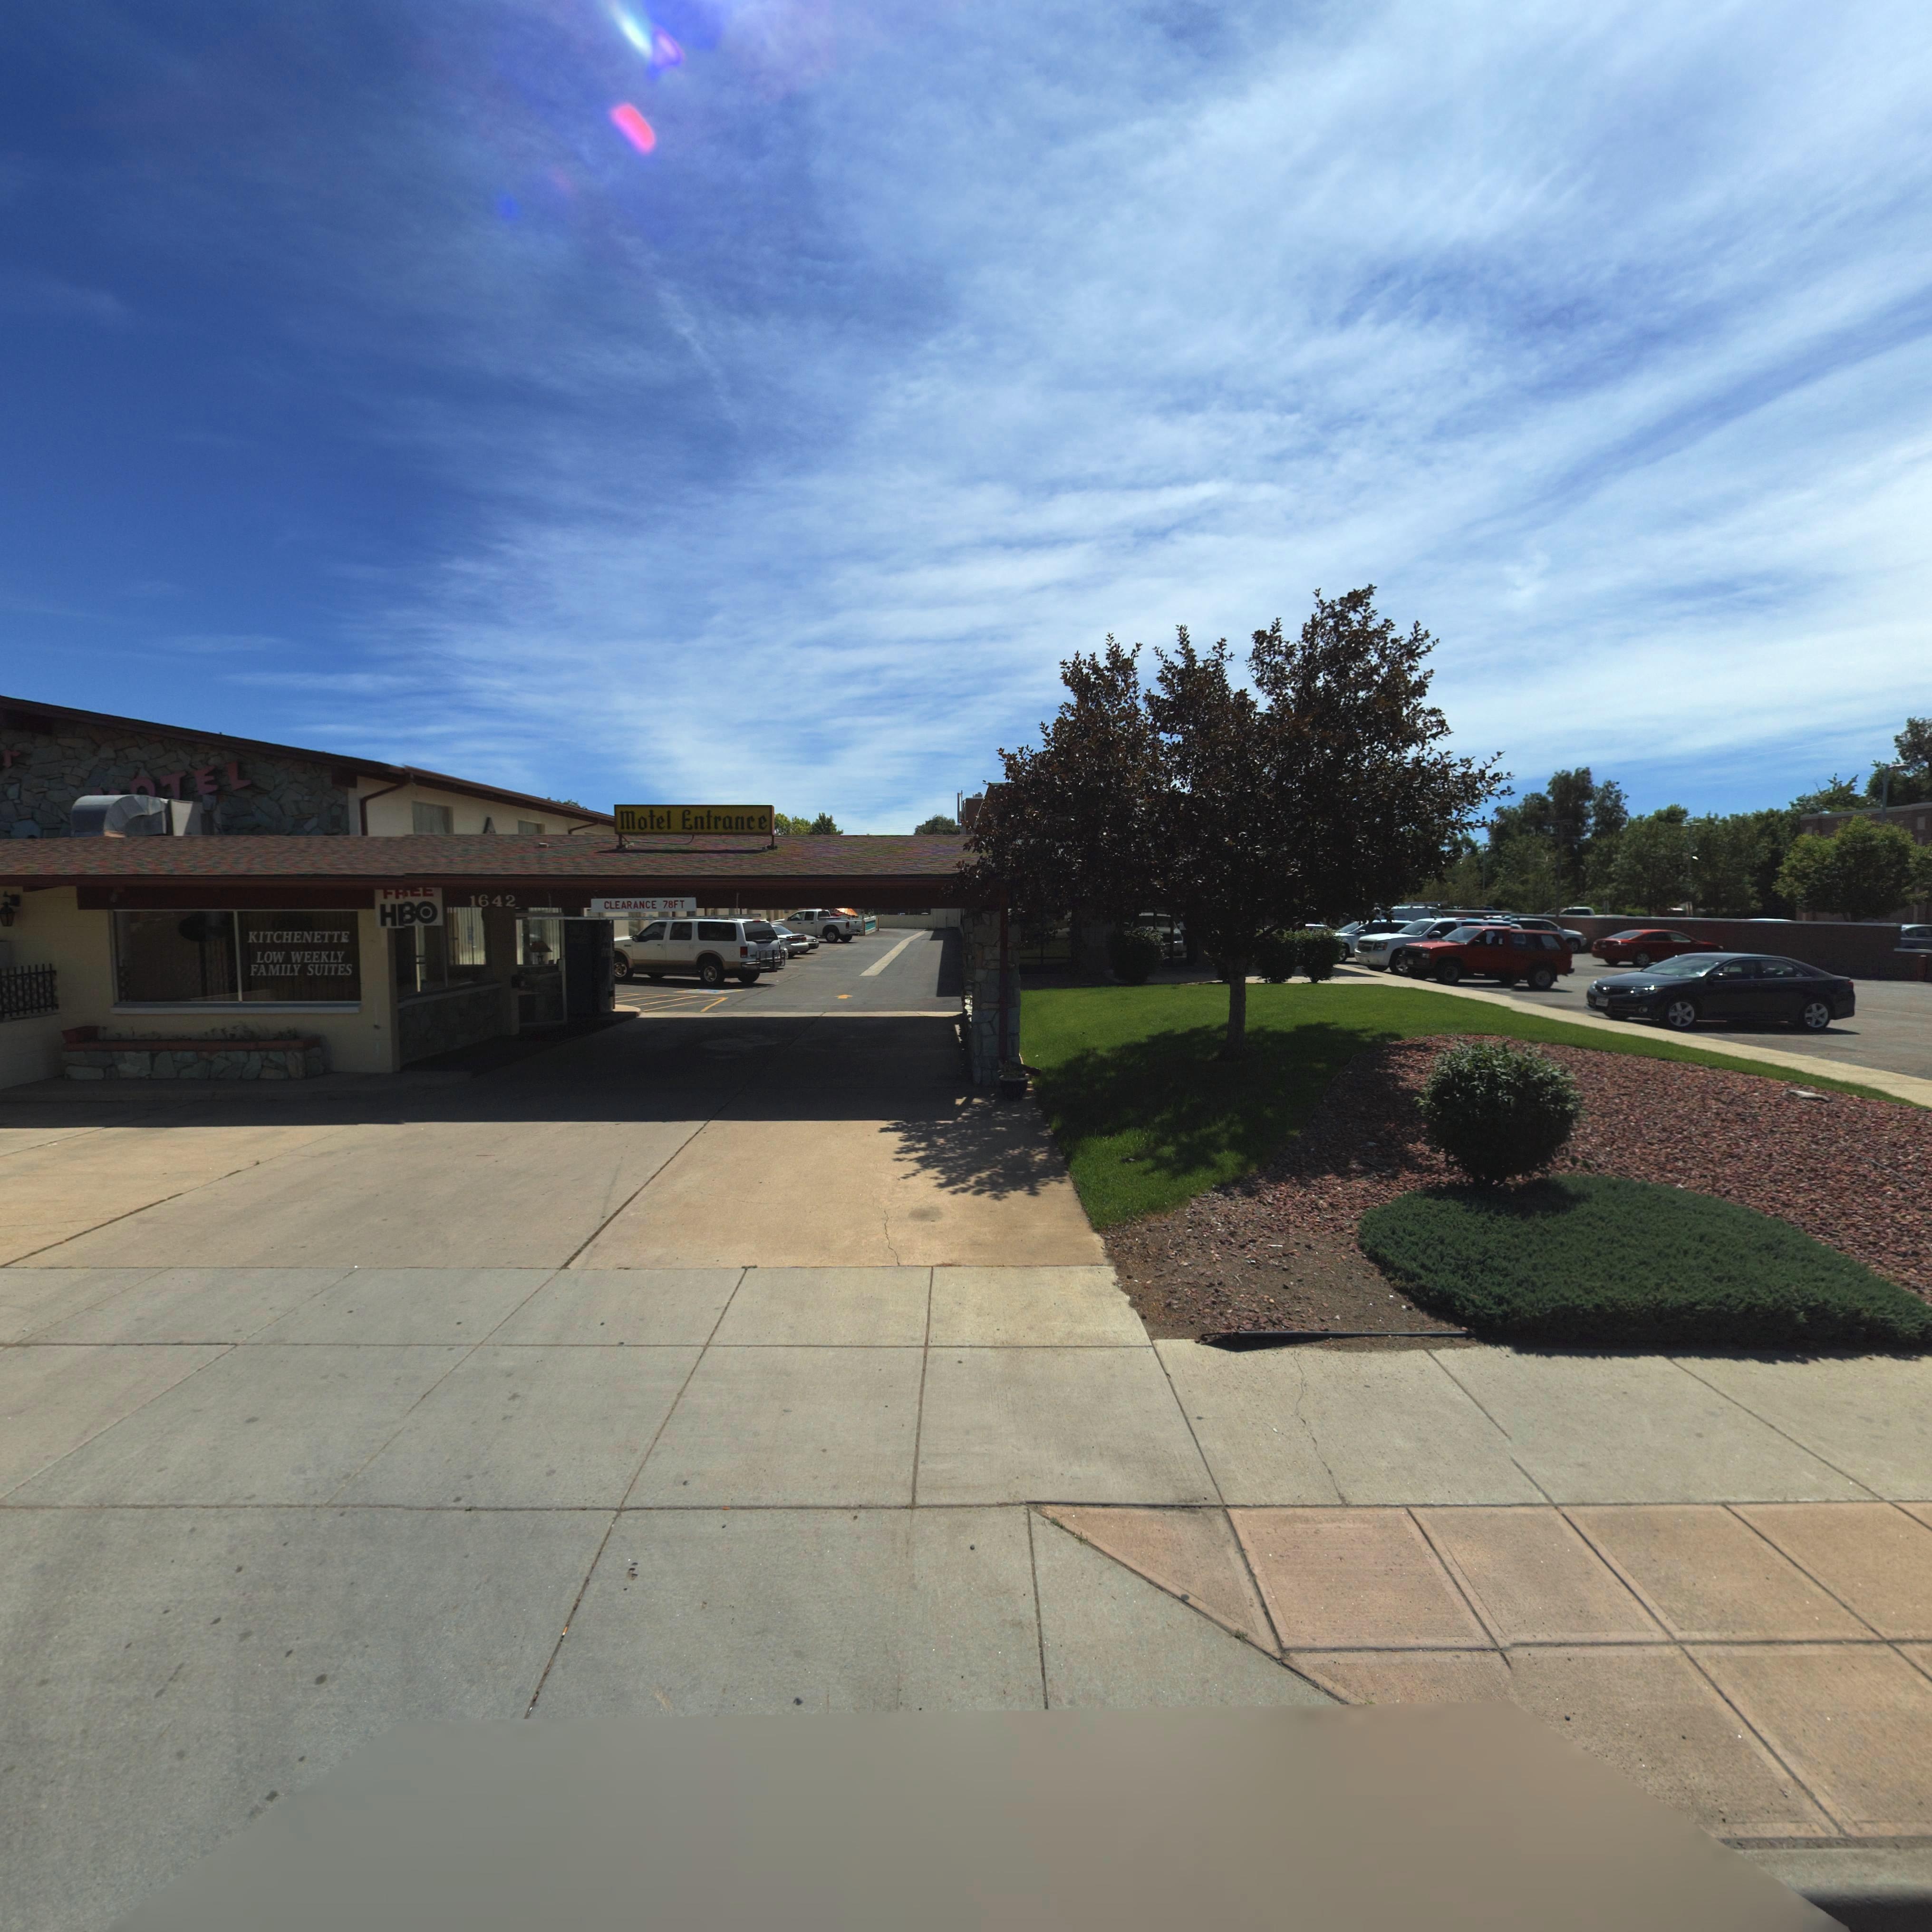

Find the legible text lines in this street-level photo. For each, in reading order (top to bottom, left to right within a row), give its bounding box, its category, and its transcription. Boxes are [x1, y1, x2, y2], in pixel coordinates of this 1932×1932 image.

[127, 760, 253, 800] BusinessName: *TEL
[468, 894, 516, 908] StreetNumber: 1642